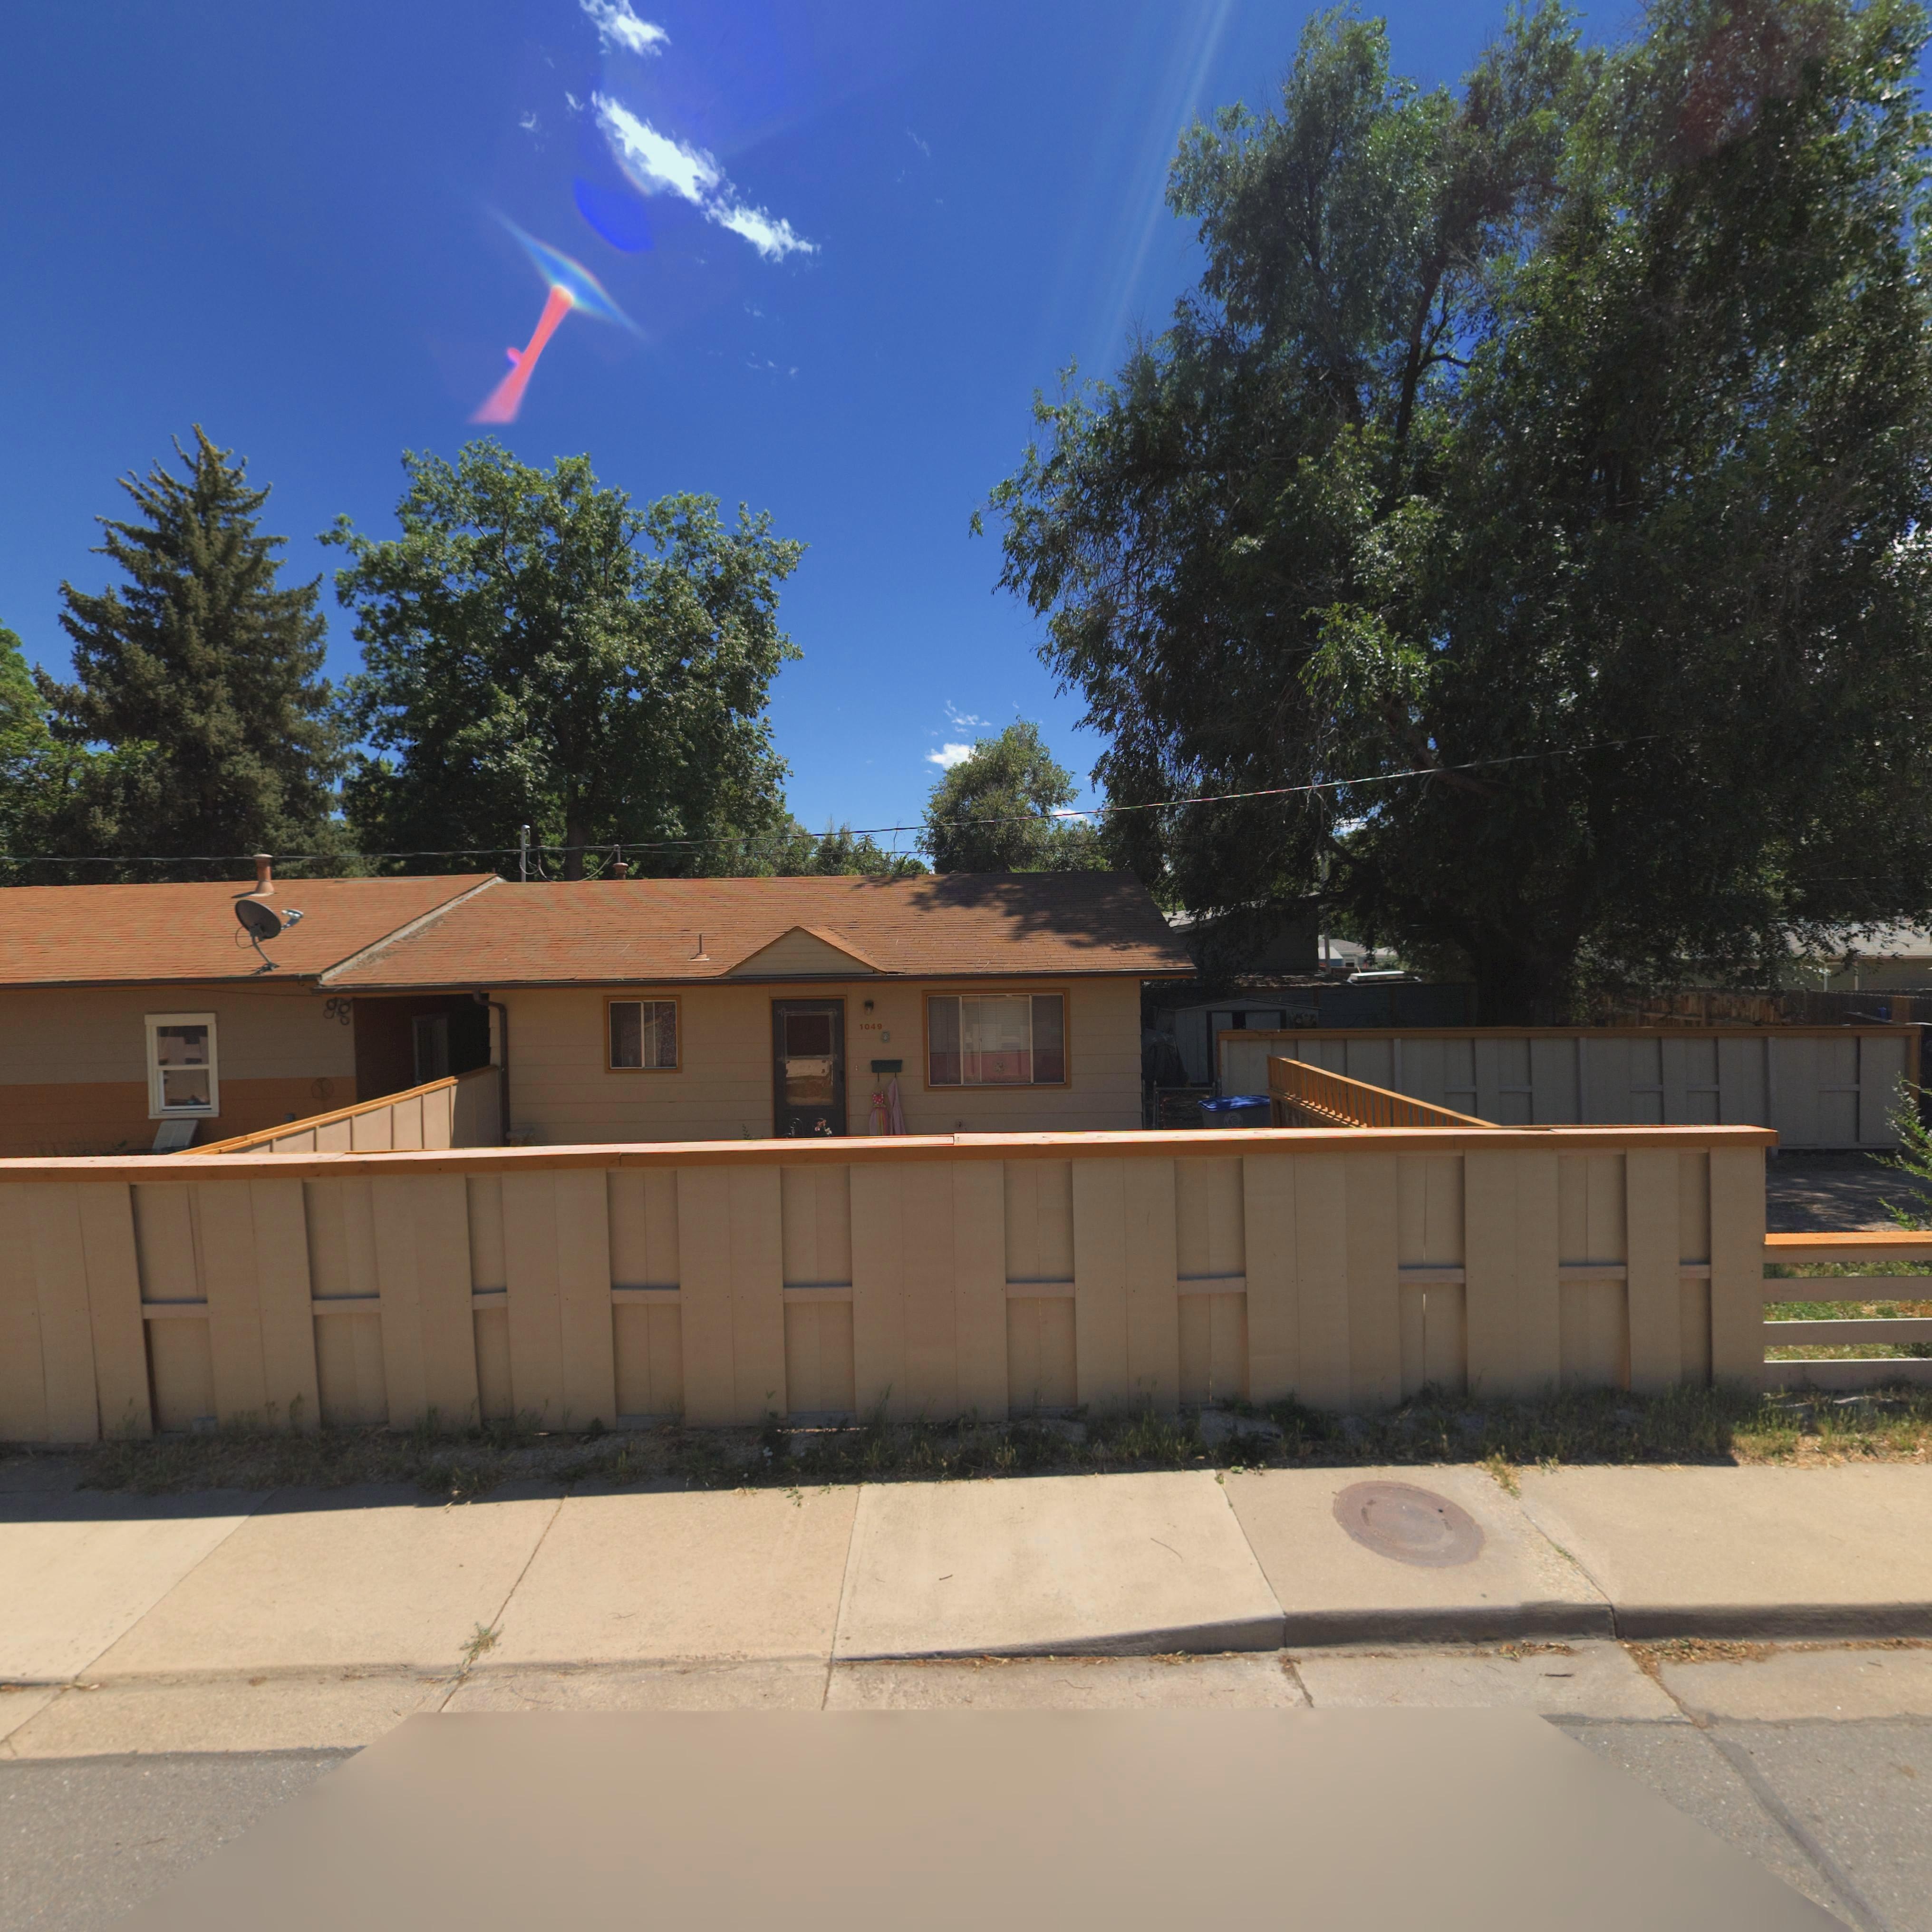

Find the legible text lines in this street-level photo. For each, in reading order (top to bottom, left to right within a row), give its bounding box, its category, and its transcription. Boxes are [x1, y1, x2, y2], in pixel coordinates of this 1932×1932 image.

[859, 1023, 882, 1030] StreetNumber: 1049